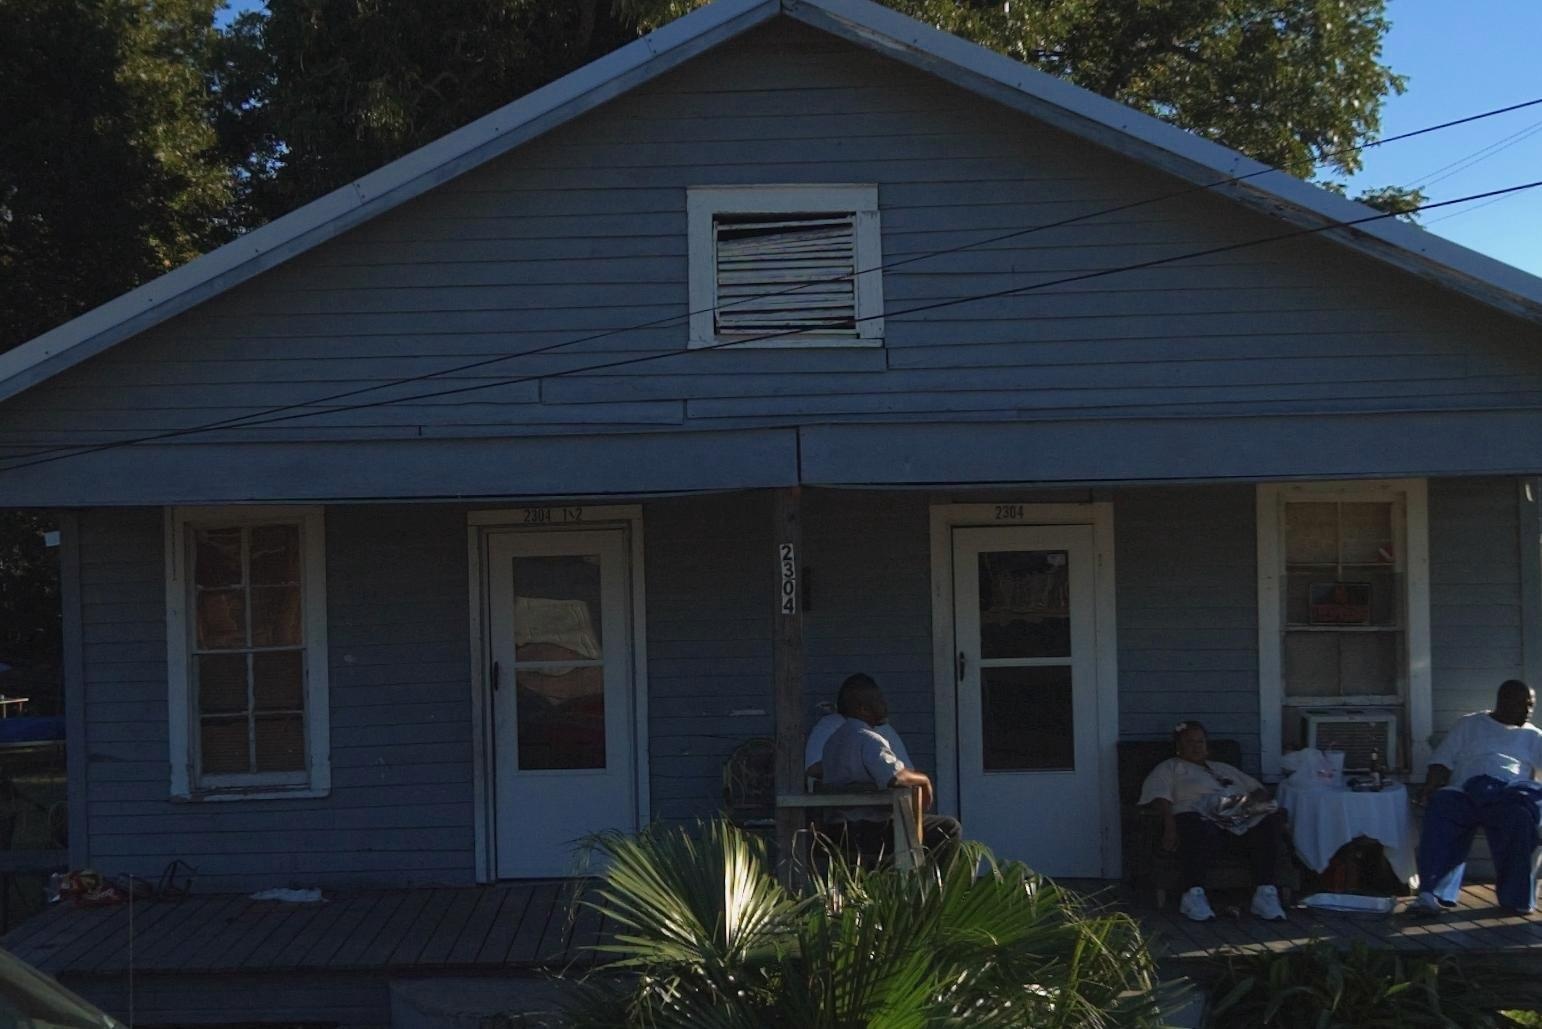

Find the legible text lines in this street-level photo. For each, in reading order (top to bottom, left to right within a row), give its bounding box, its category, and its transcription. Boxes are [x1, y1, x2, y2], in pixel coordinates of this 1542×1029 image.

[522, 507, 553, 524] StreetNumber: 2304
[560, 503, 586, 525] None: 1*2
[993, 503, 1026, 521] StreetNumber: 2304
[778, 541, 797, 616] StreetNumber: 2304